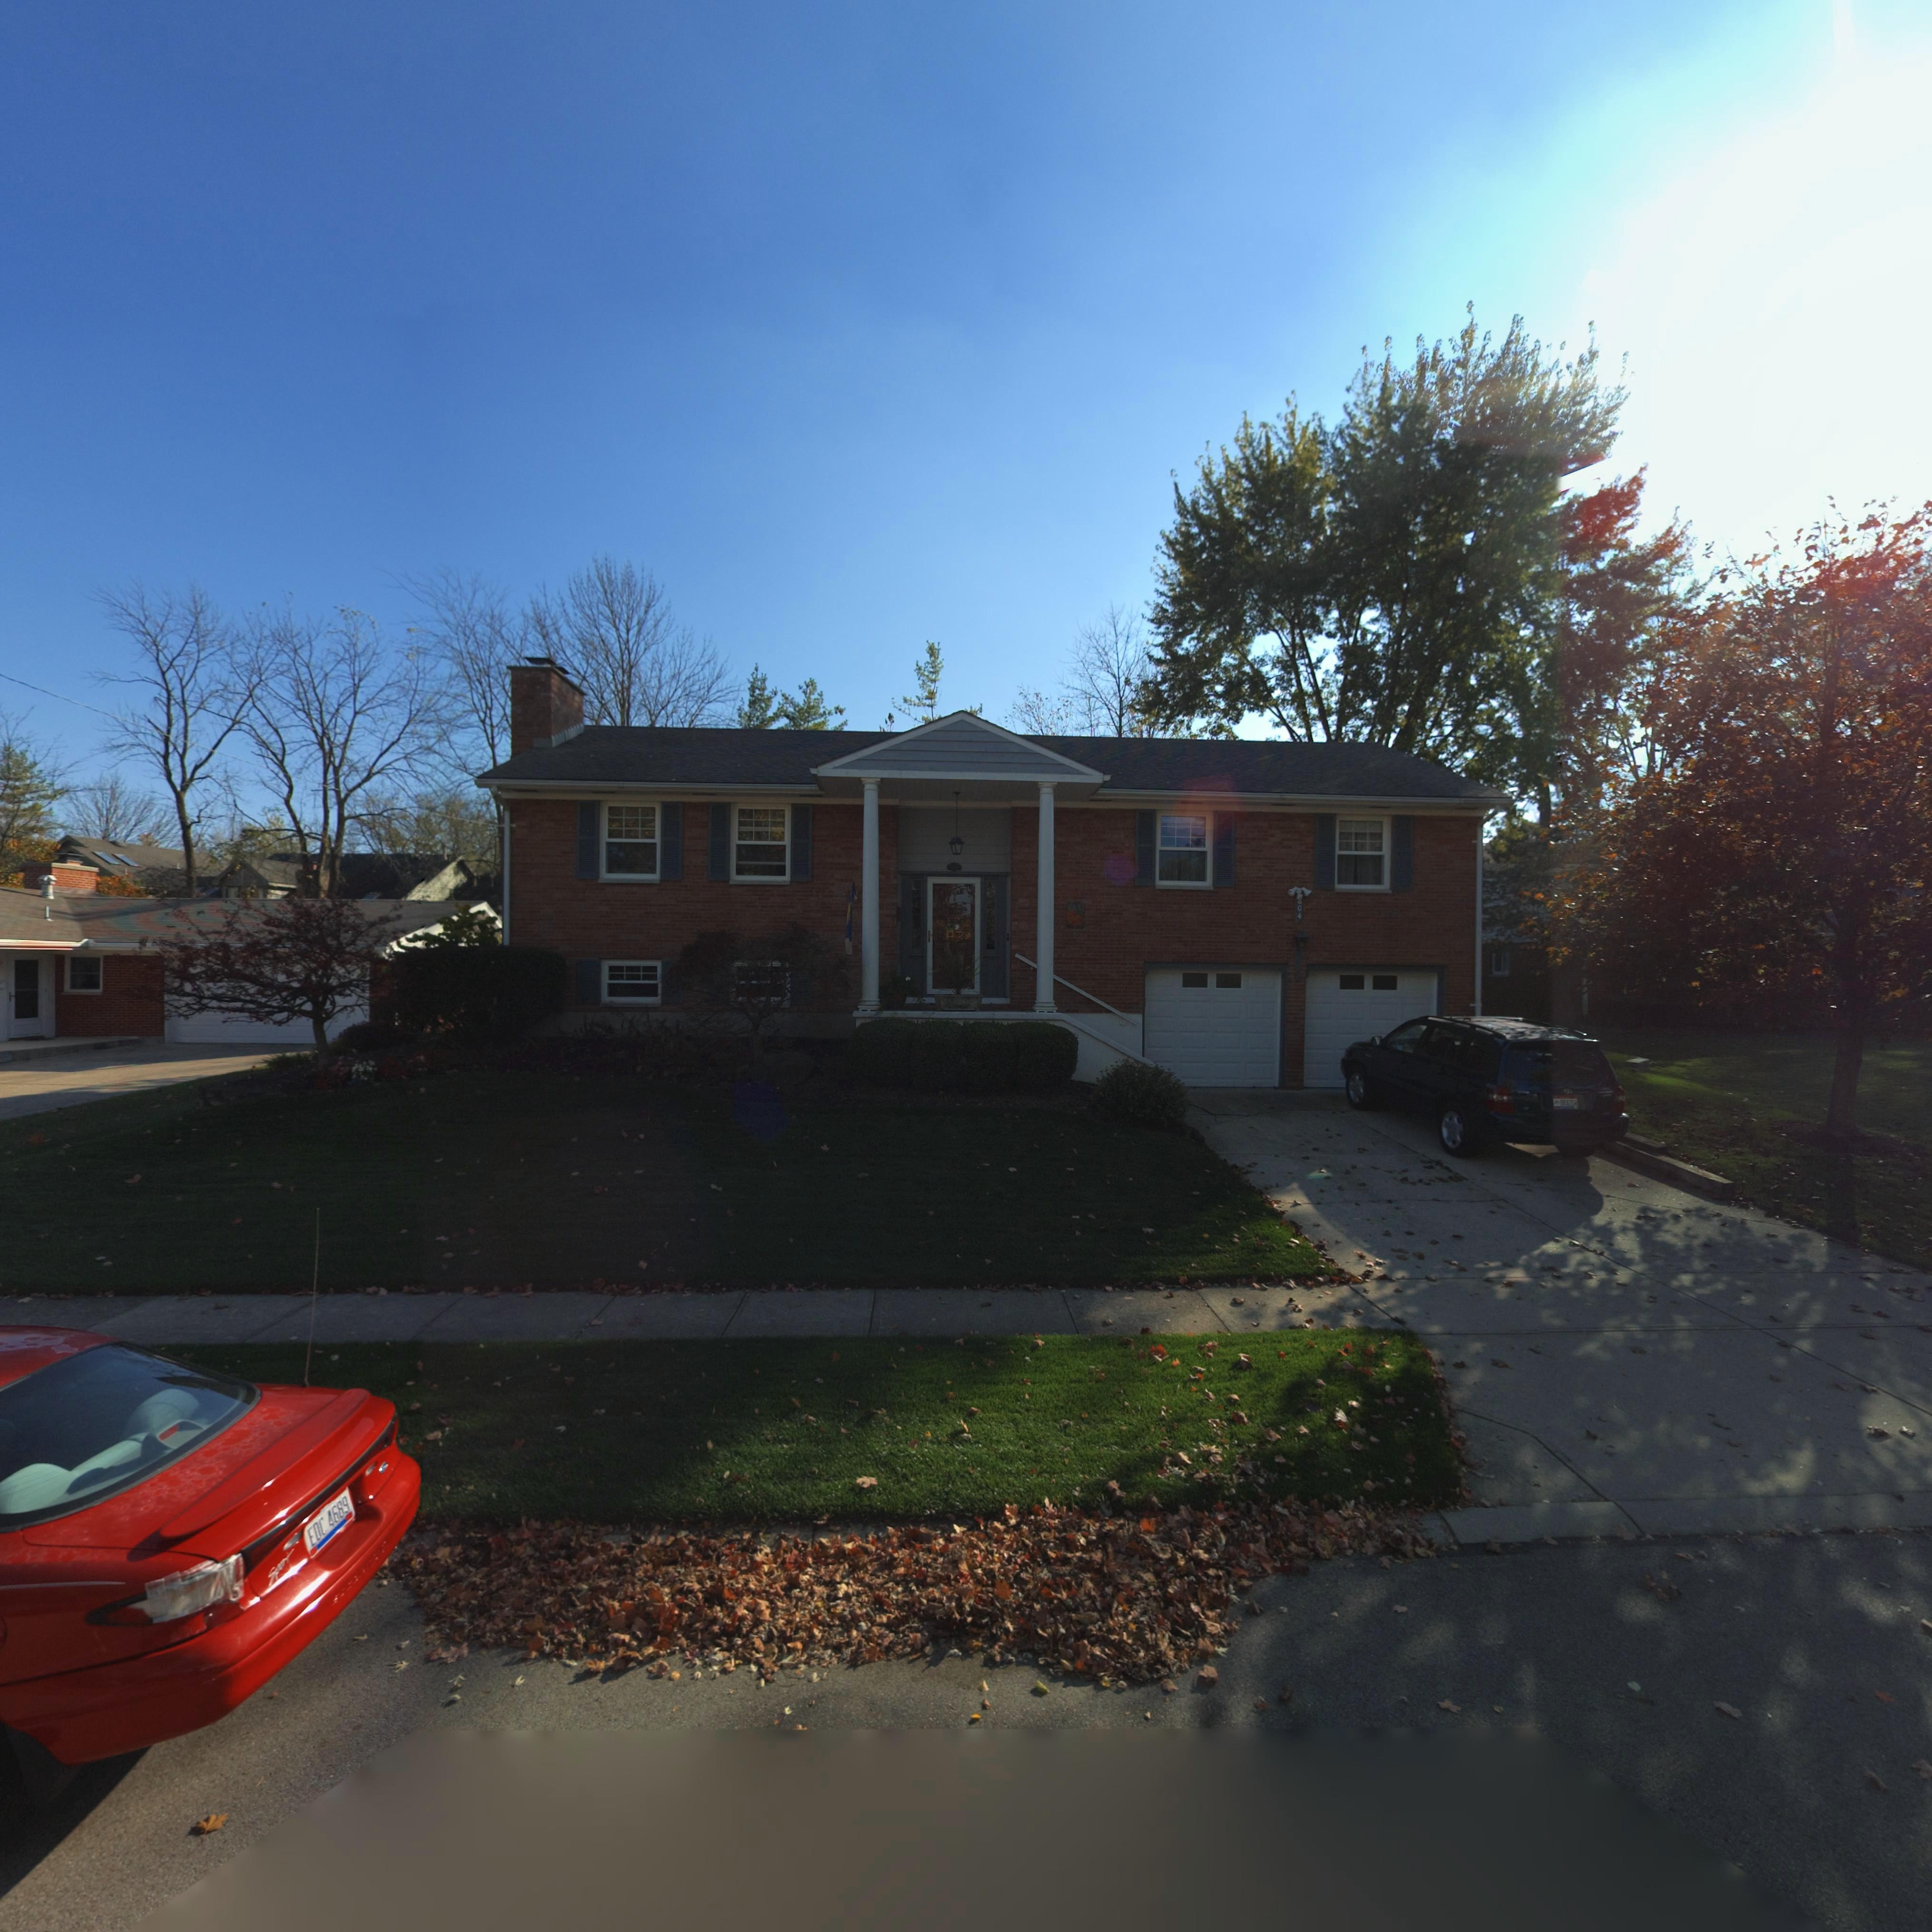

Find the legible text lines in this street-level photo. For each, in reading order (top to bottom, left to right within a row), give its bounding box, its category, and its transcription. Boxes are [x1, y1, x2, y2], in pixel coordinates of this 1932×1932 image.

[1296, 904, 1303, 920] StreetNumber: 04